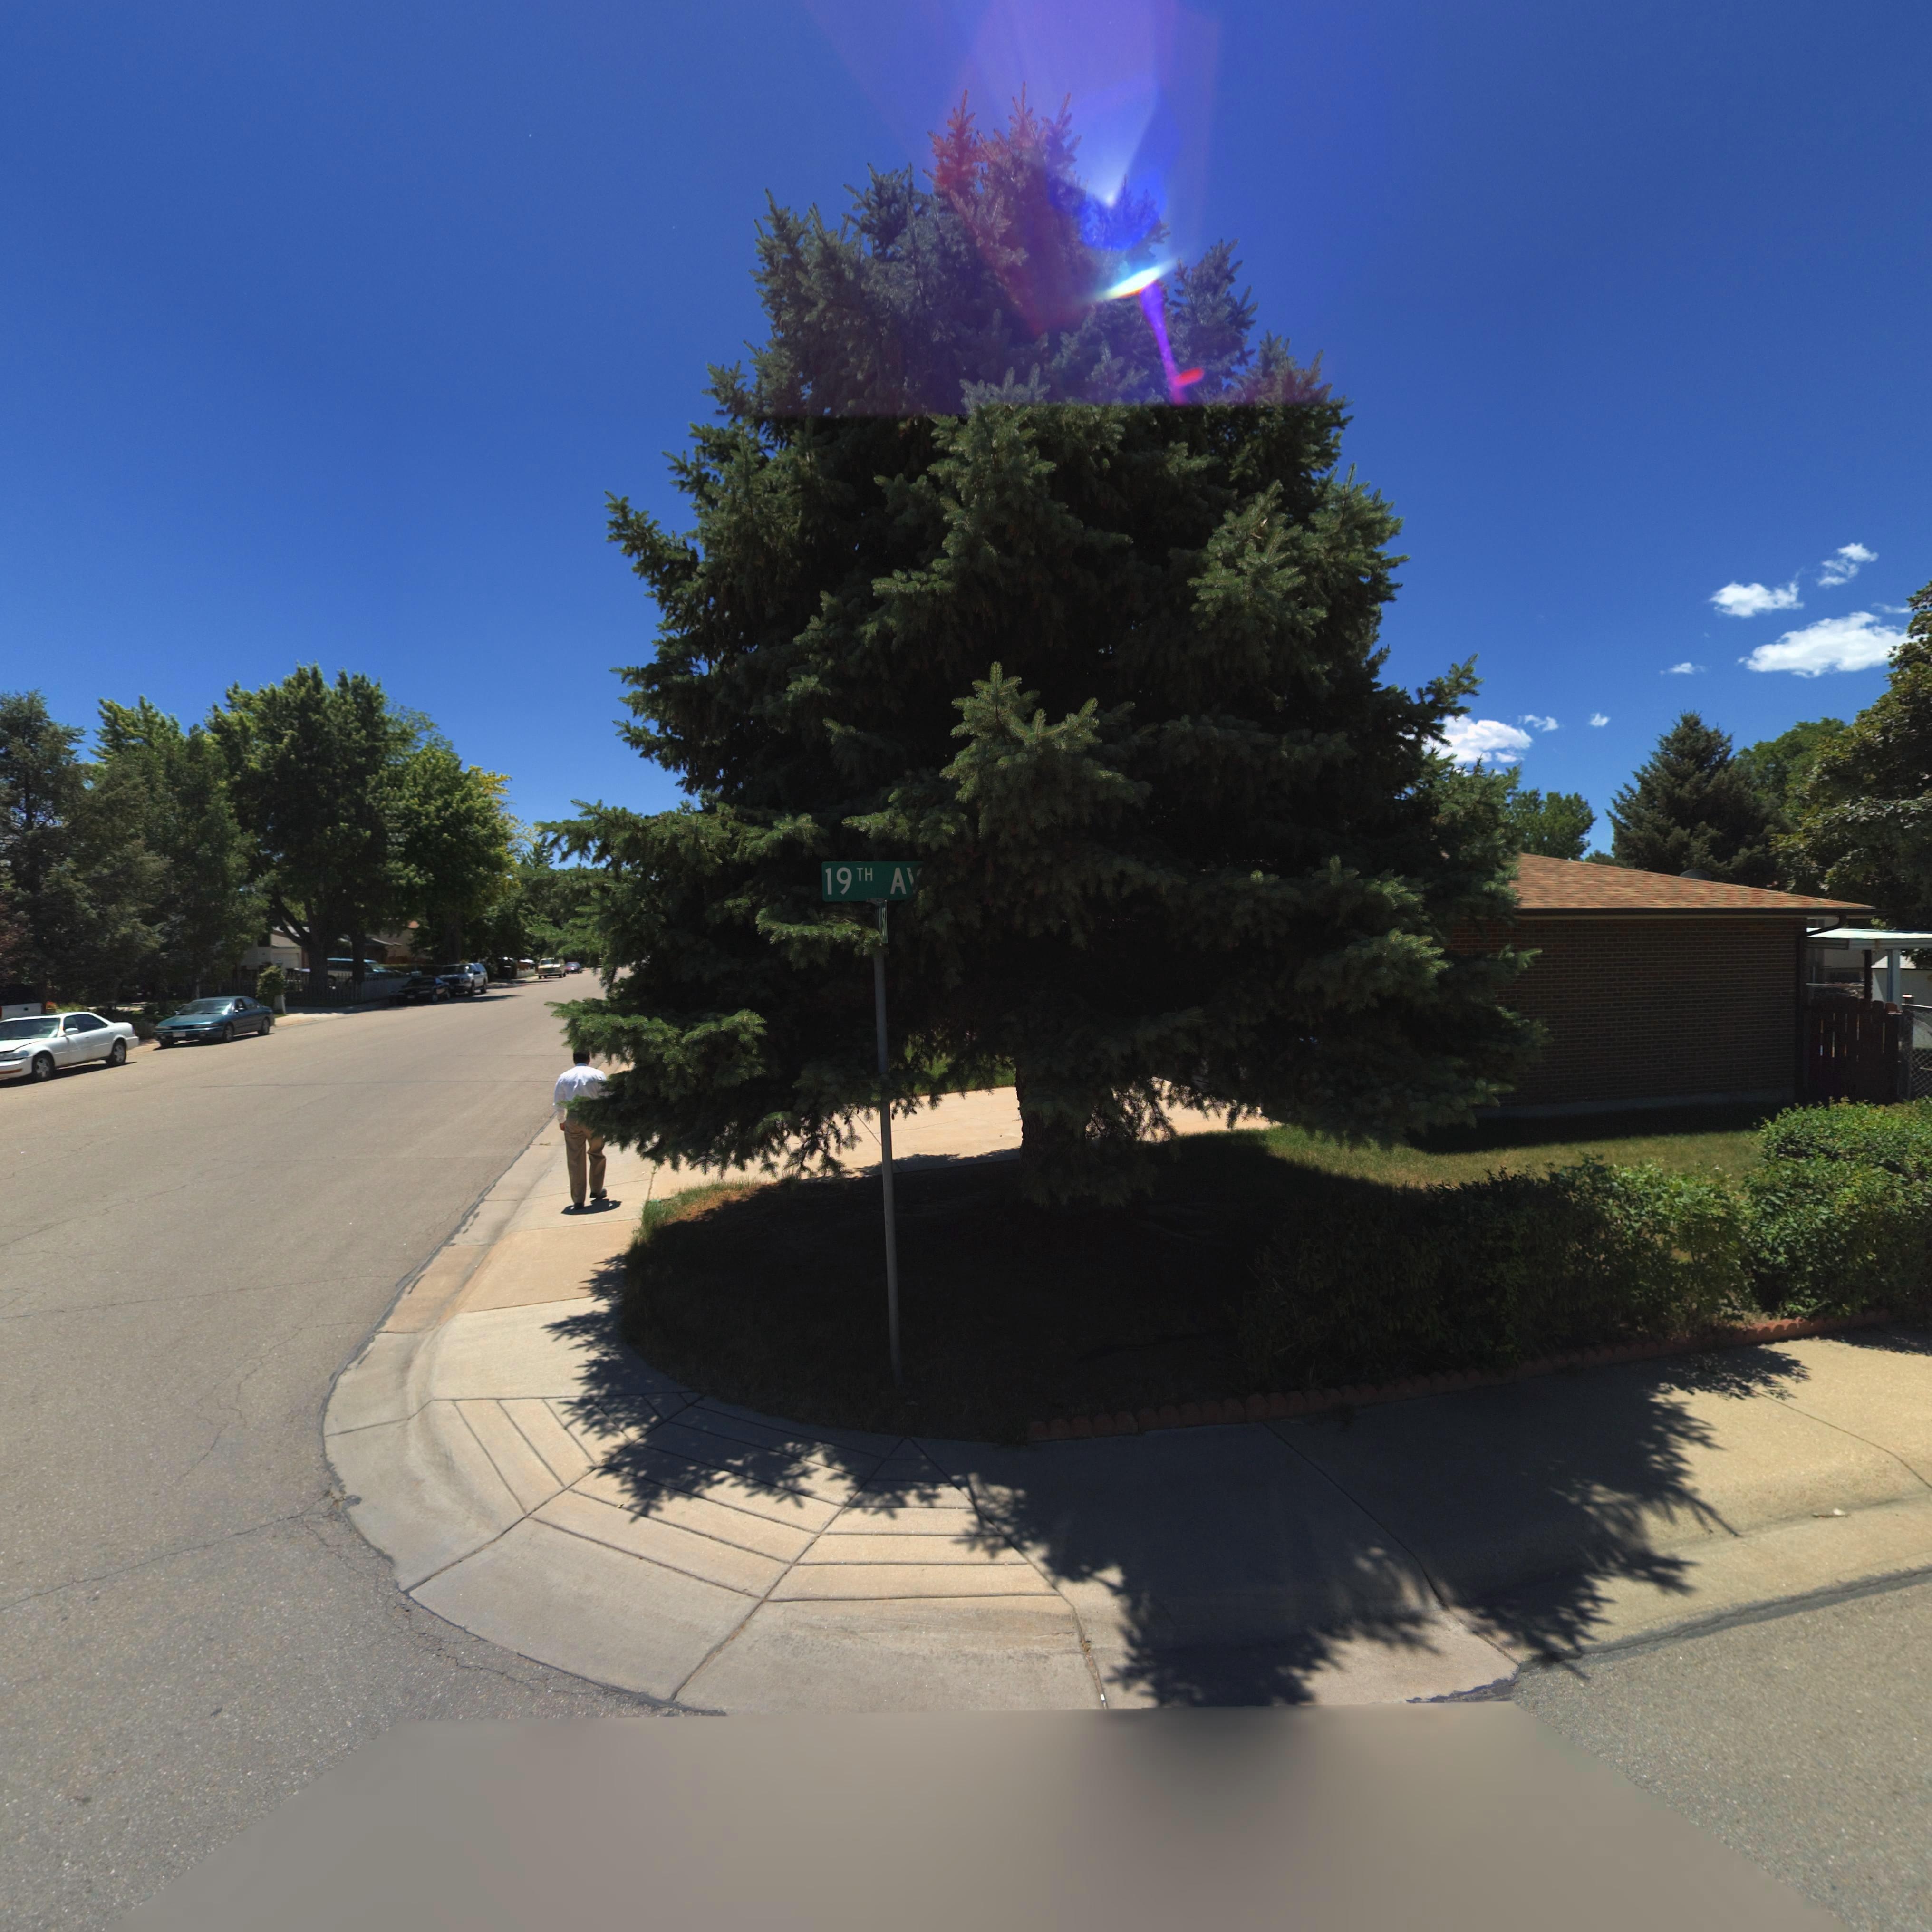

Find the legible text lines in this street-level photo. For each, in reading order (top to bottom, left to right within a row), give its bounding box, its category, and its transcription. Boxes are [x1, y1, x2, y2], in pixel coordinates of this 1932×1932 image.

[824, 867, 925, 895] StreetName: 19TH A*